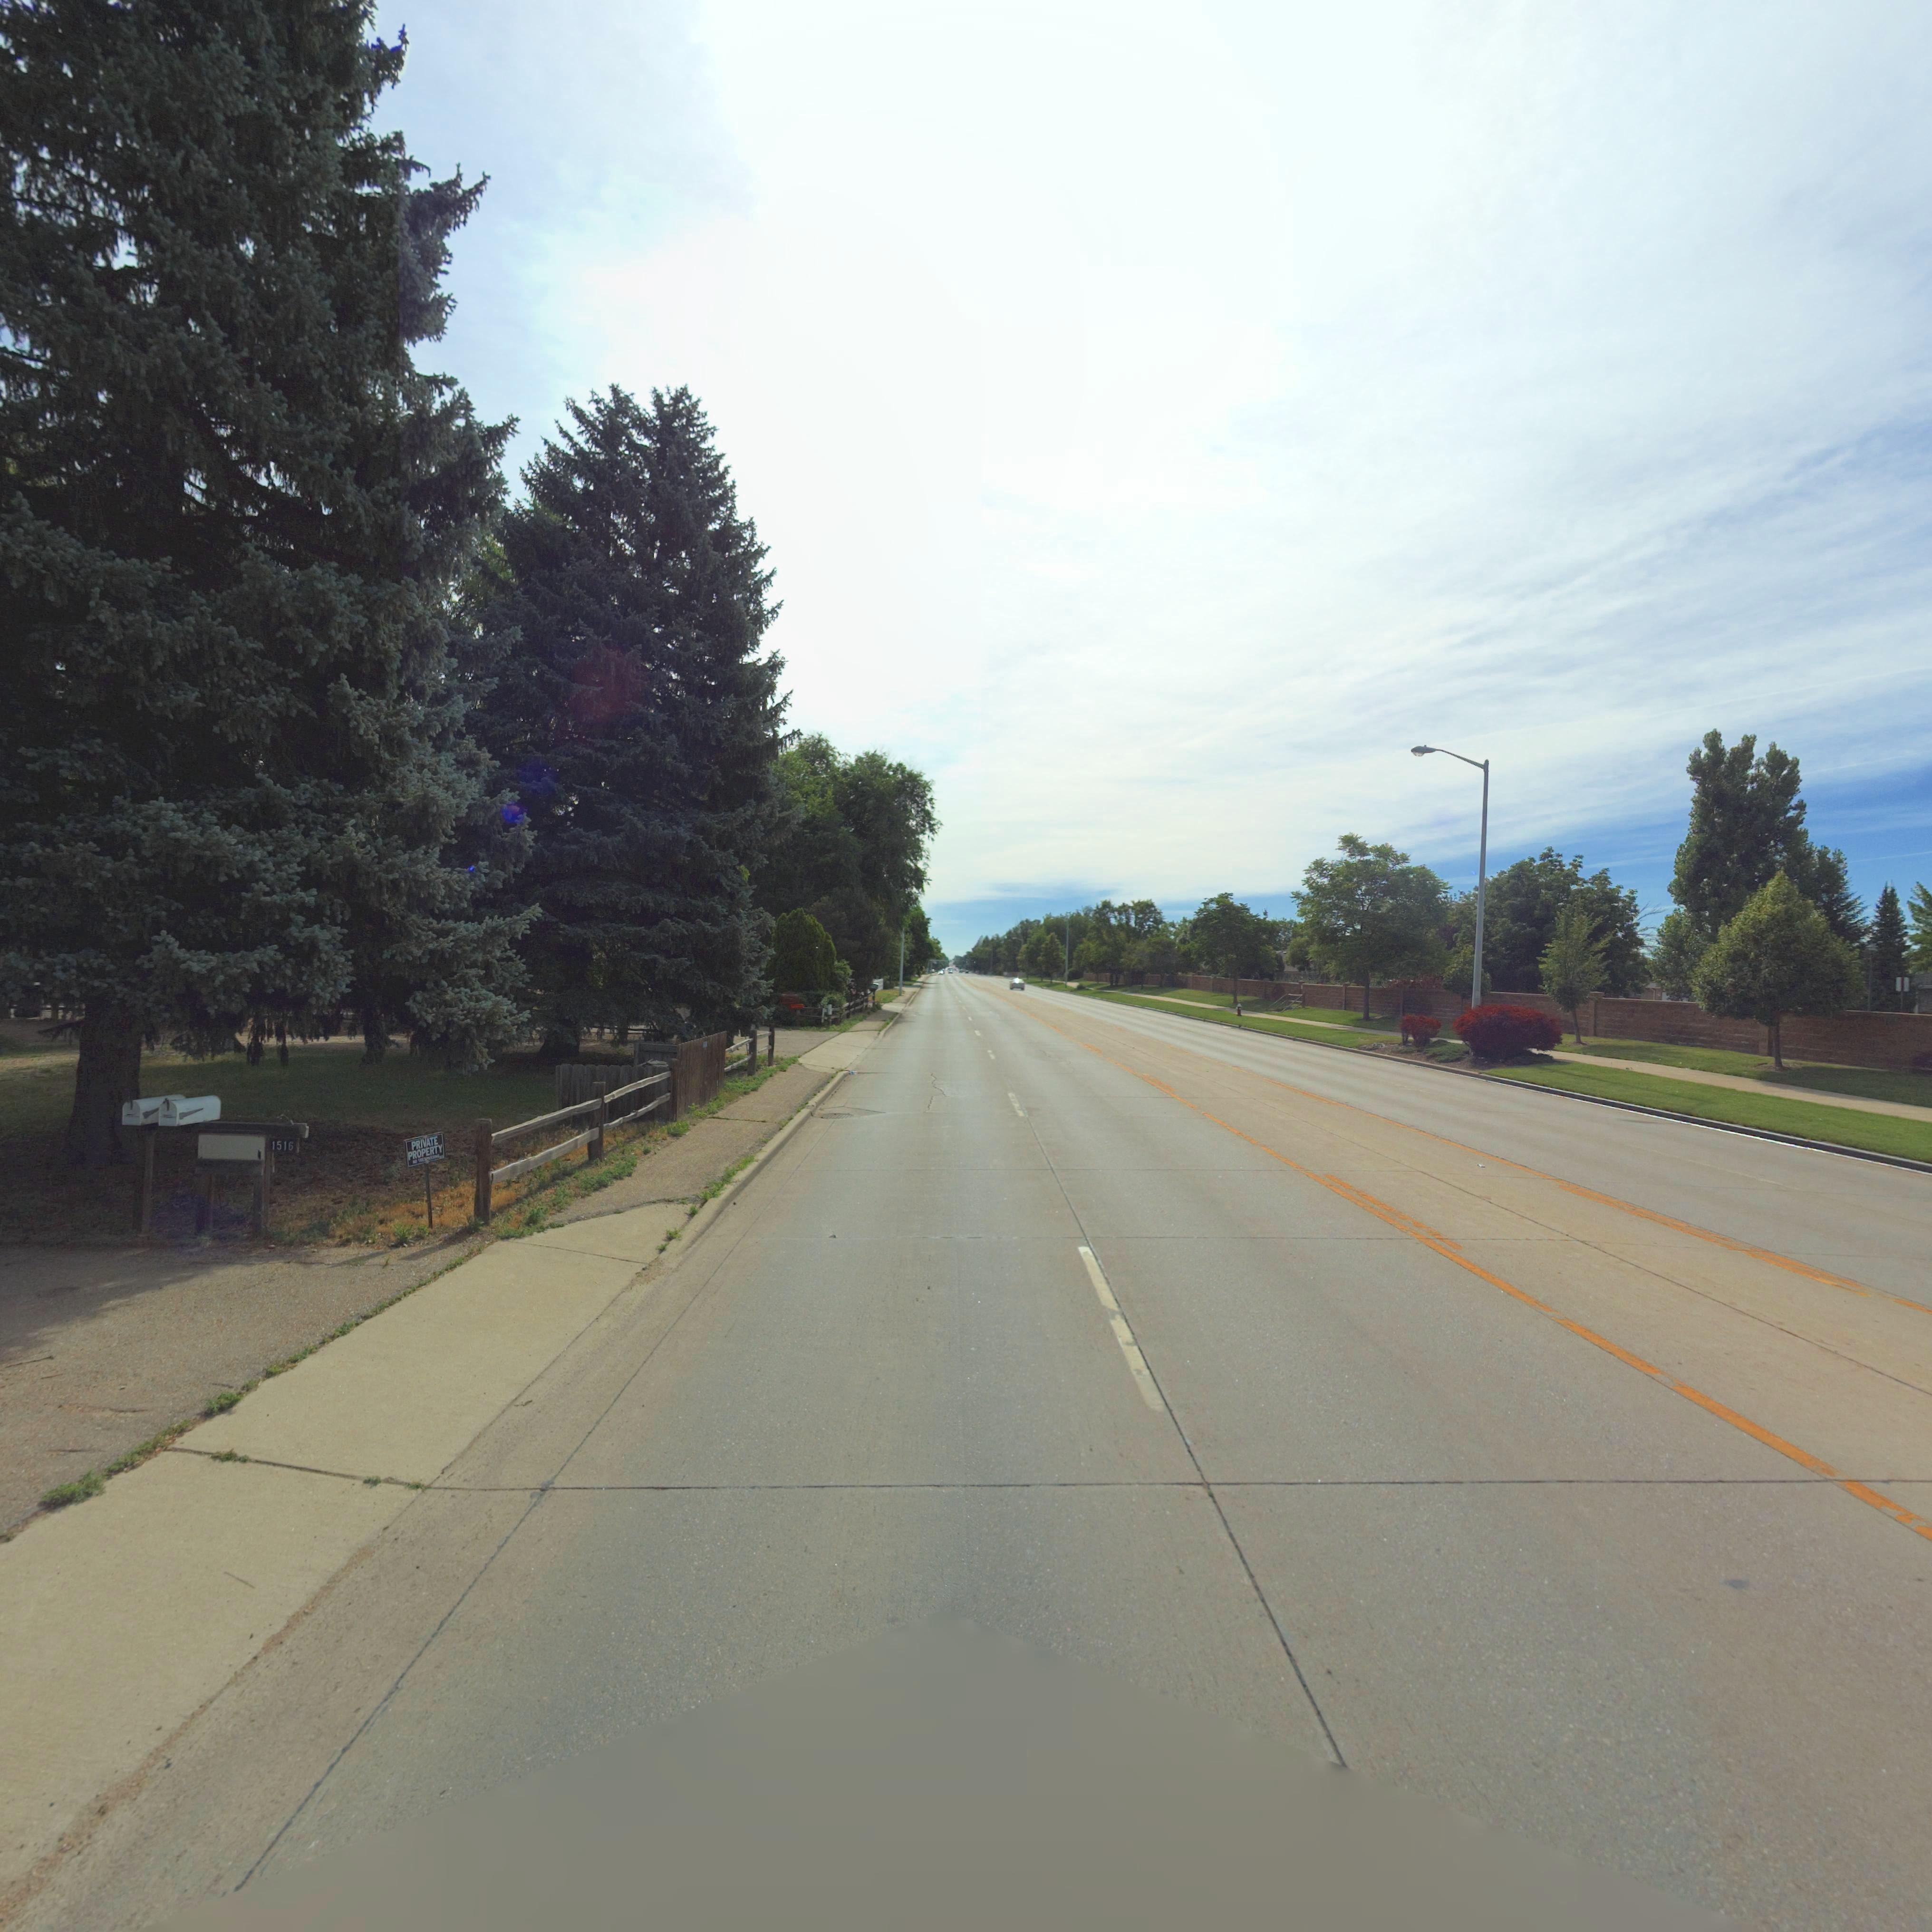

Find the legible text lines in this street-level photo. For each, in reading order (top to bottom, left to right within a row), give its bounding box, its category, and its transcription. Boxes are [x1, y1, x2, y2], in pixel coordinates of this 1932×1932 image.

[271, 1140, 294, 1151] StreetNumber: 1516